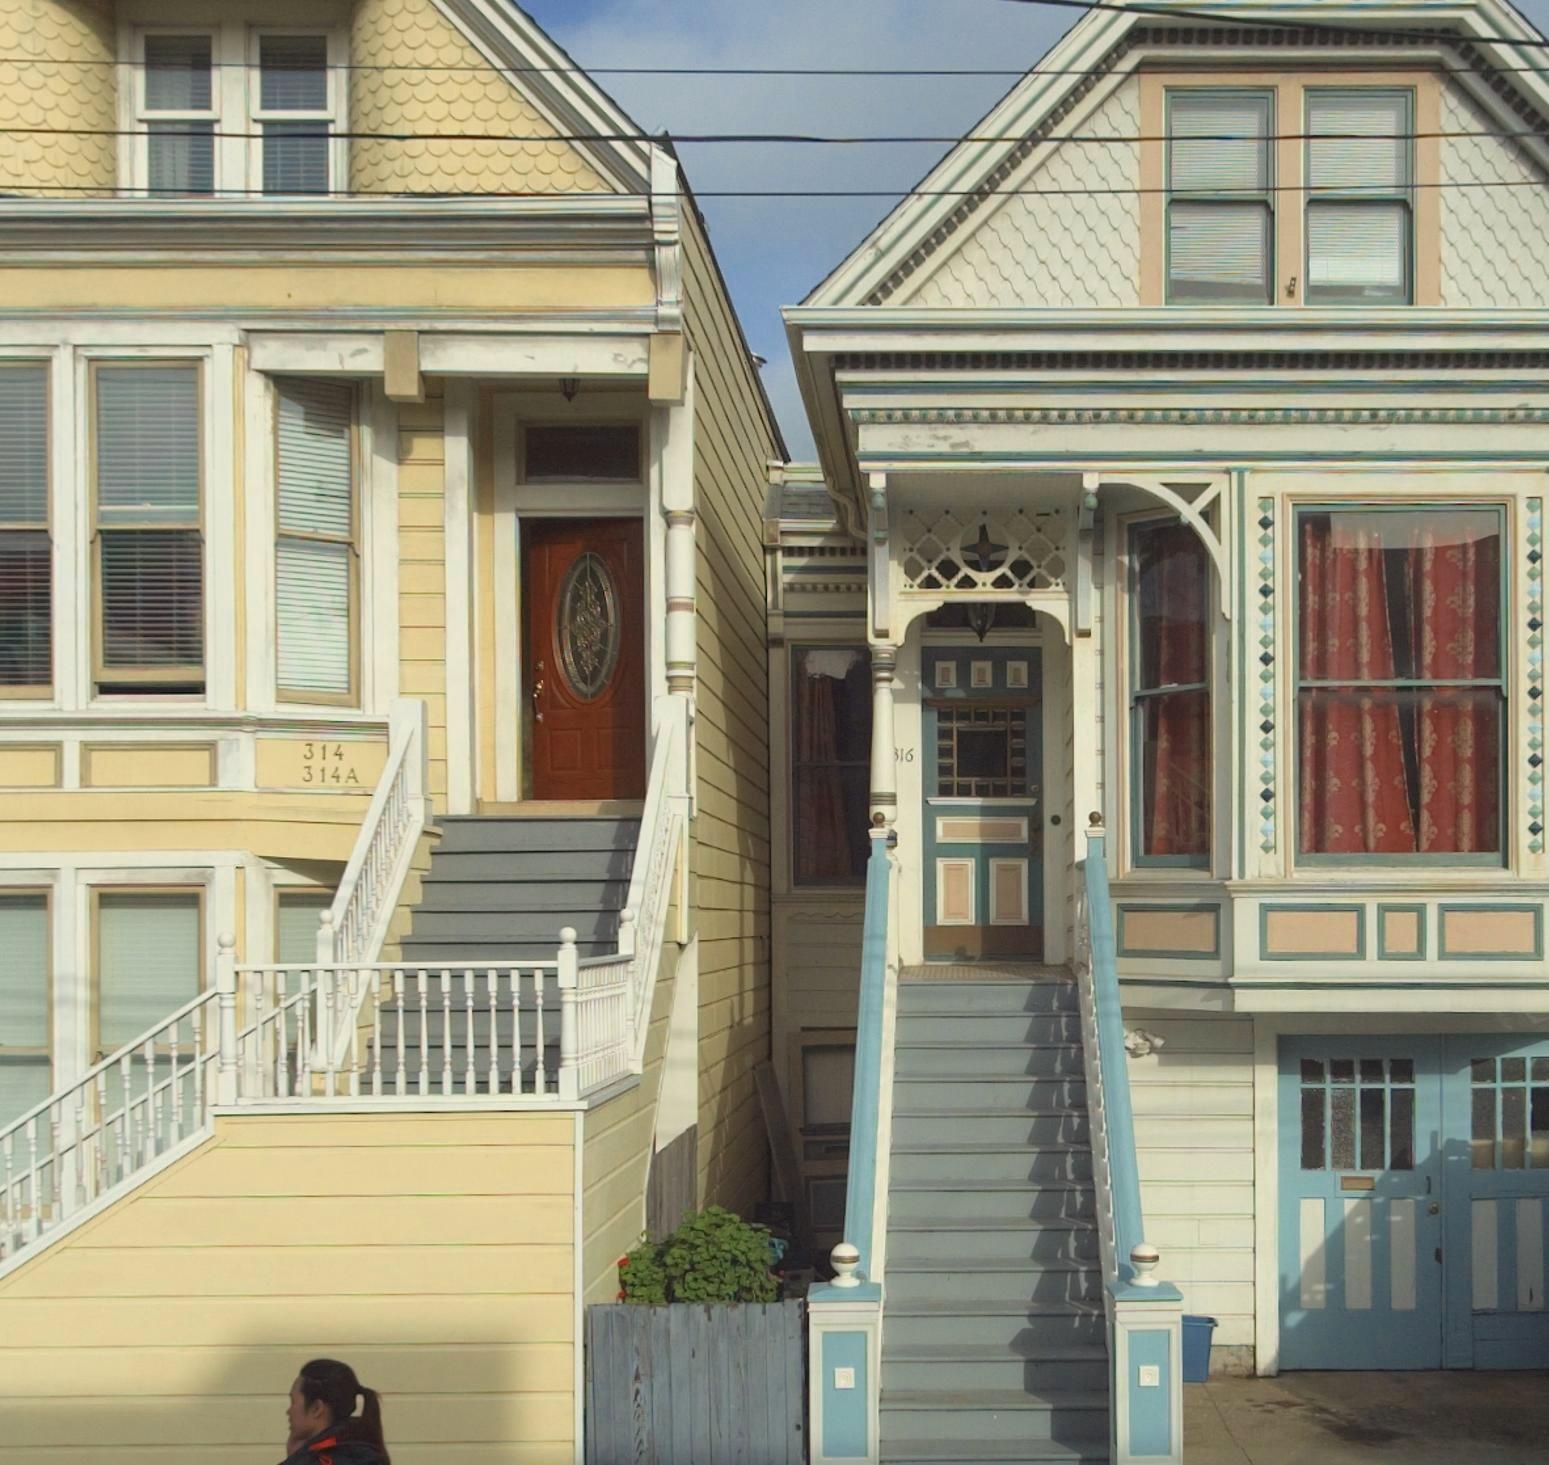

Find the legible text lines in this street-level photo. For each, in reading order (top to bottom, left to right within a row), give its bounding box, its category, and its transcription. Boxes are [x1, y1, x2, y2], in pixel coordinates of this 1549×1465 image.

[302, 740, 344, 762] StreetNumber: 314
[890, 745, 915, 763] StreetNumber: *16
[302, 764, 360, 786] StreetNumber: 314A